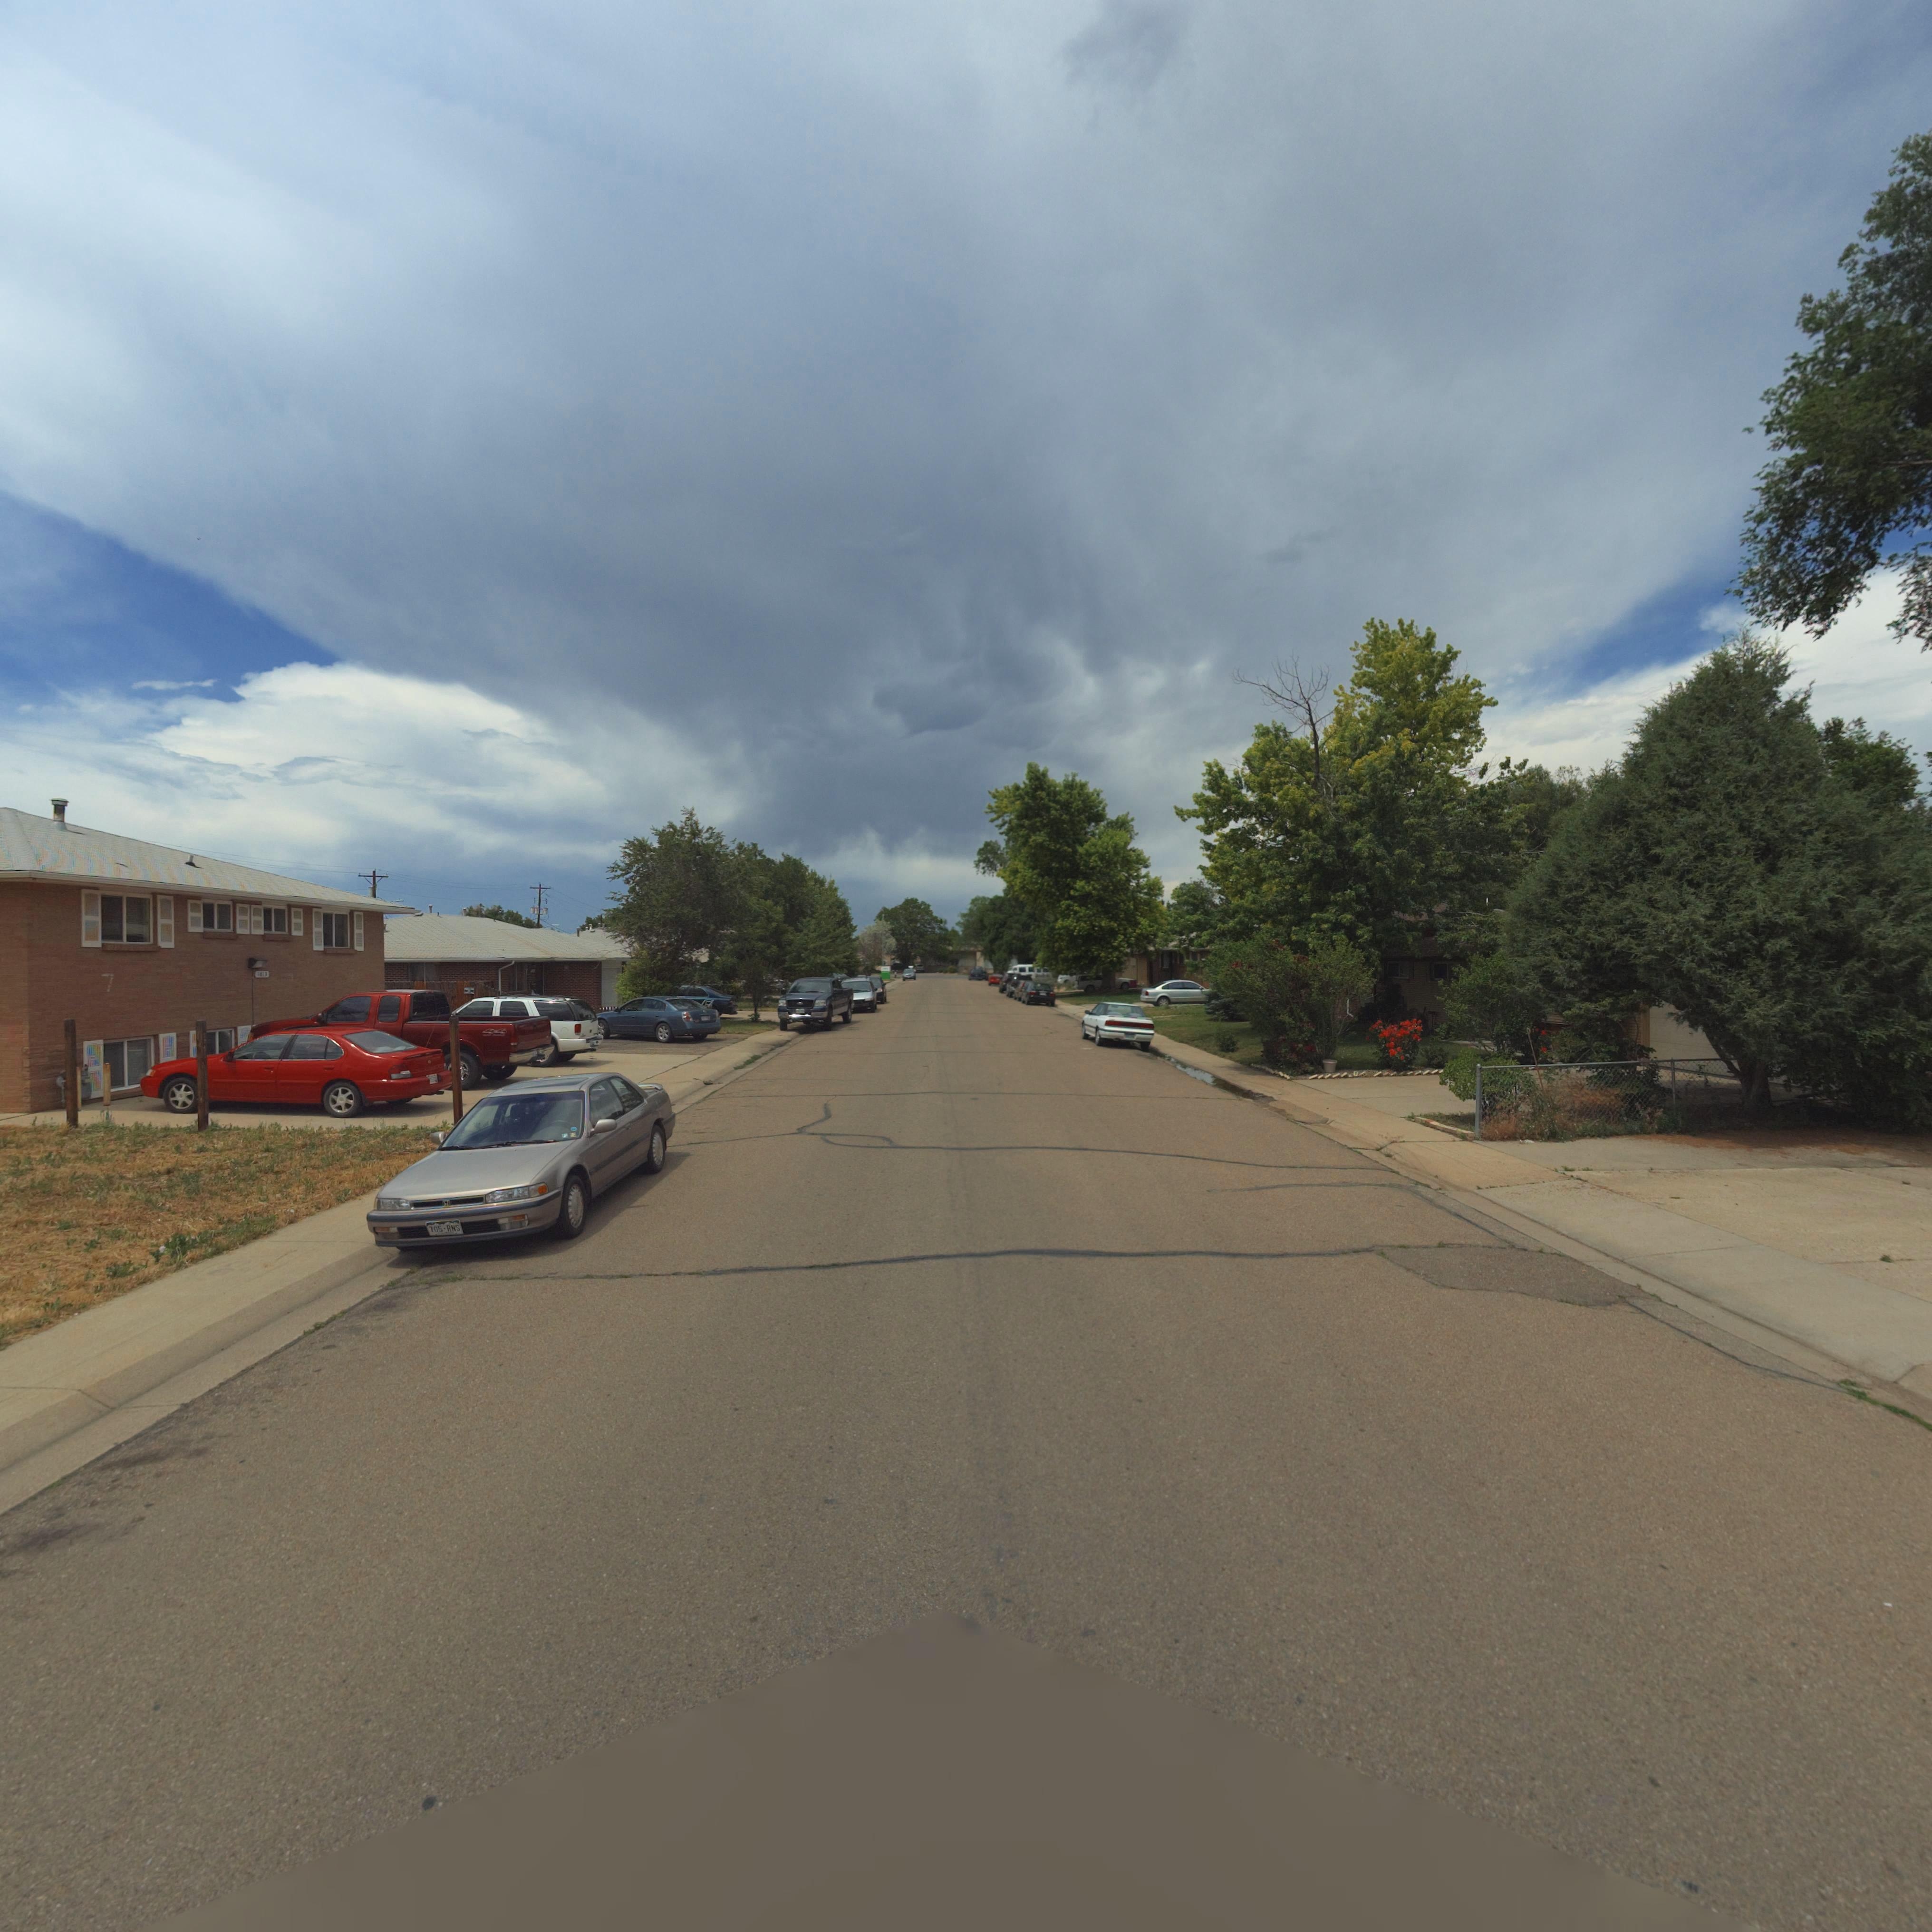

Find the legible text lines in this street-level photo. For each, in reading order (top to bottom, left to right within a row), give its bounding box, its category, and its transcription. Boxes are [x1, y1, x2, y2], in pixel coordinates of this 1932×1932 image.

[257, 971, 267, 976] StreetNumber: *013